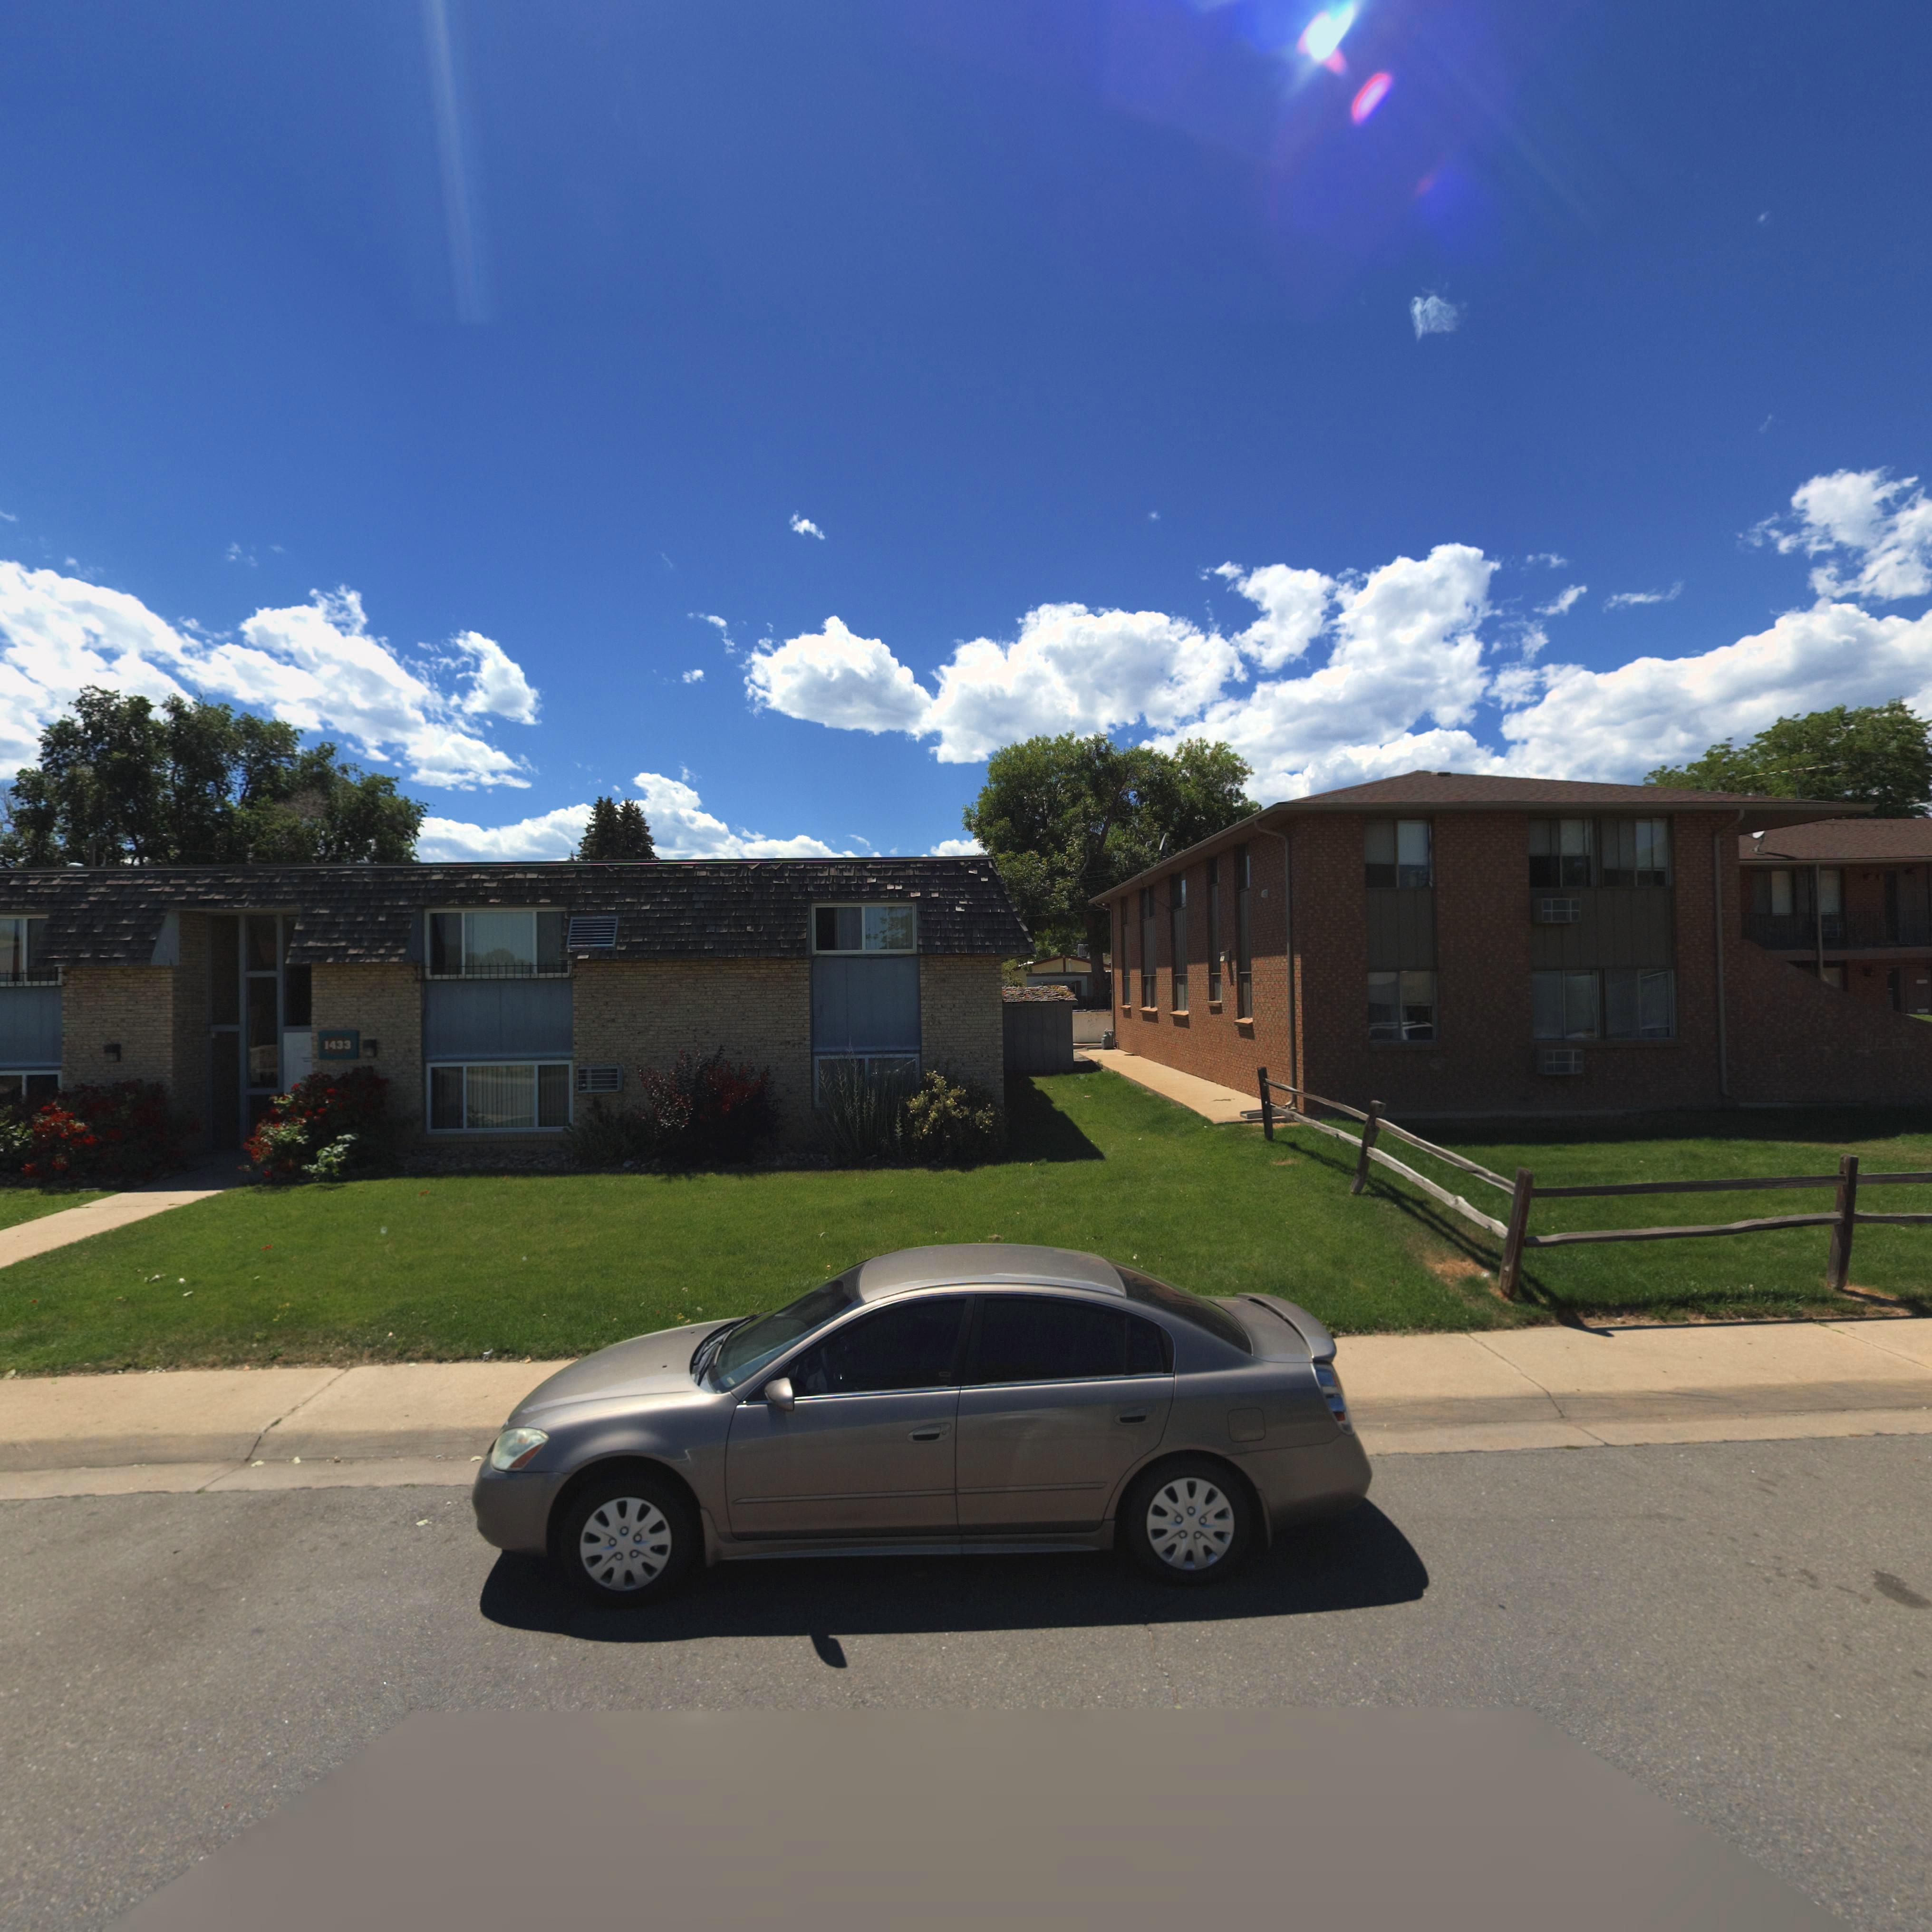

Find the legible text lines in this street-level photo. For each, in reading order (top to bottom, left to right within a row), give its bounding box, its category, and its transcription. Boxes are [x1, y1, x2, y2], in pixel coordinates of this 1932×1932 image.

[324, 1039, 352, 1050] StreetNumber: 1433